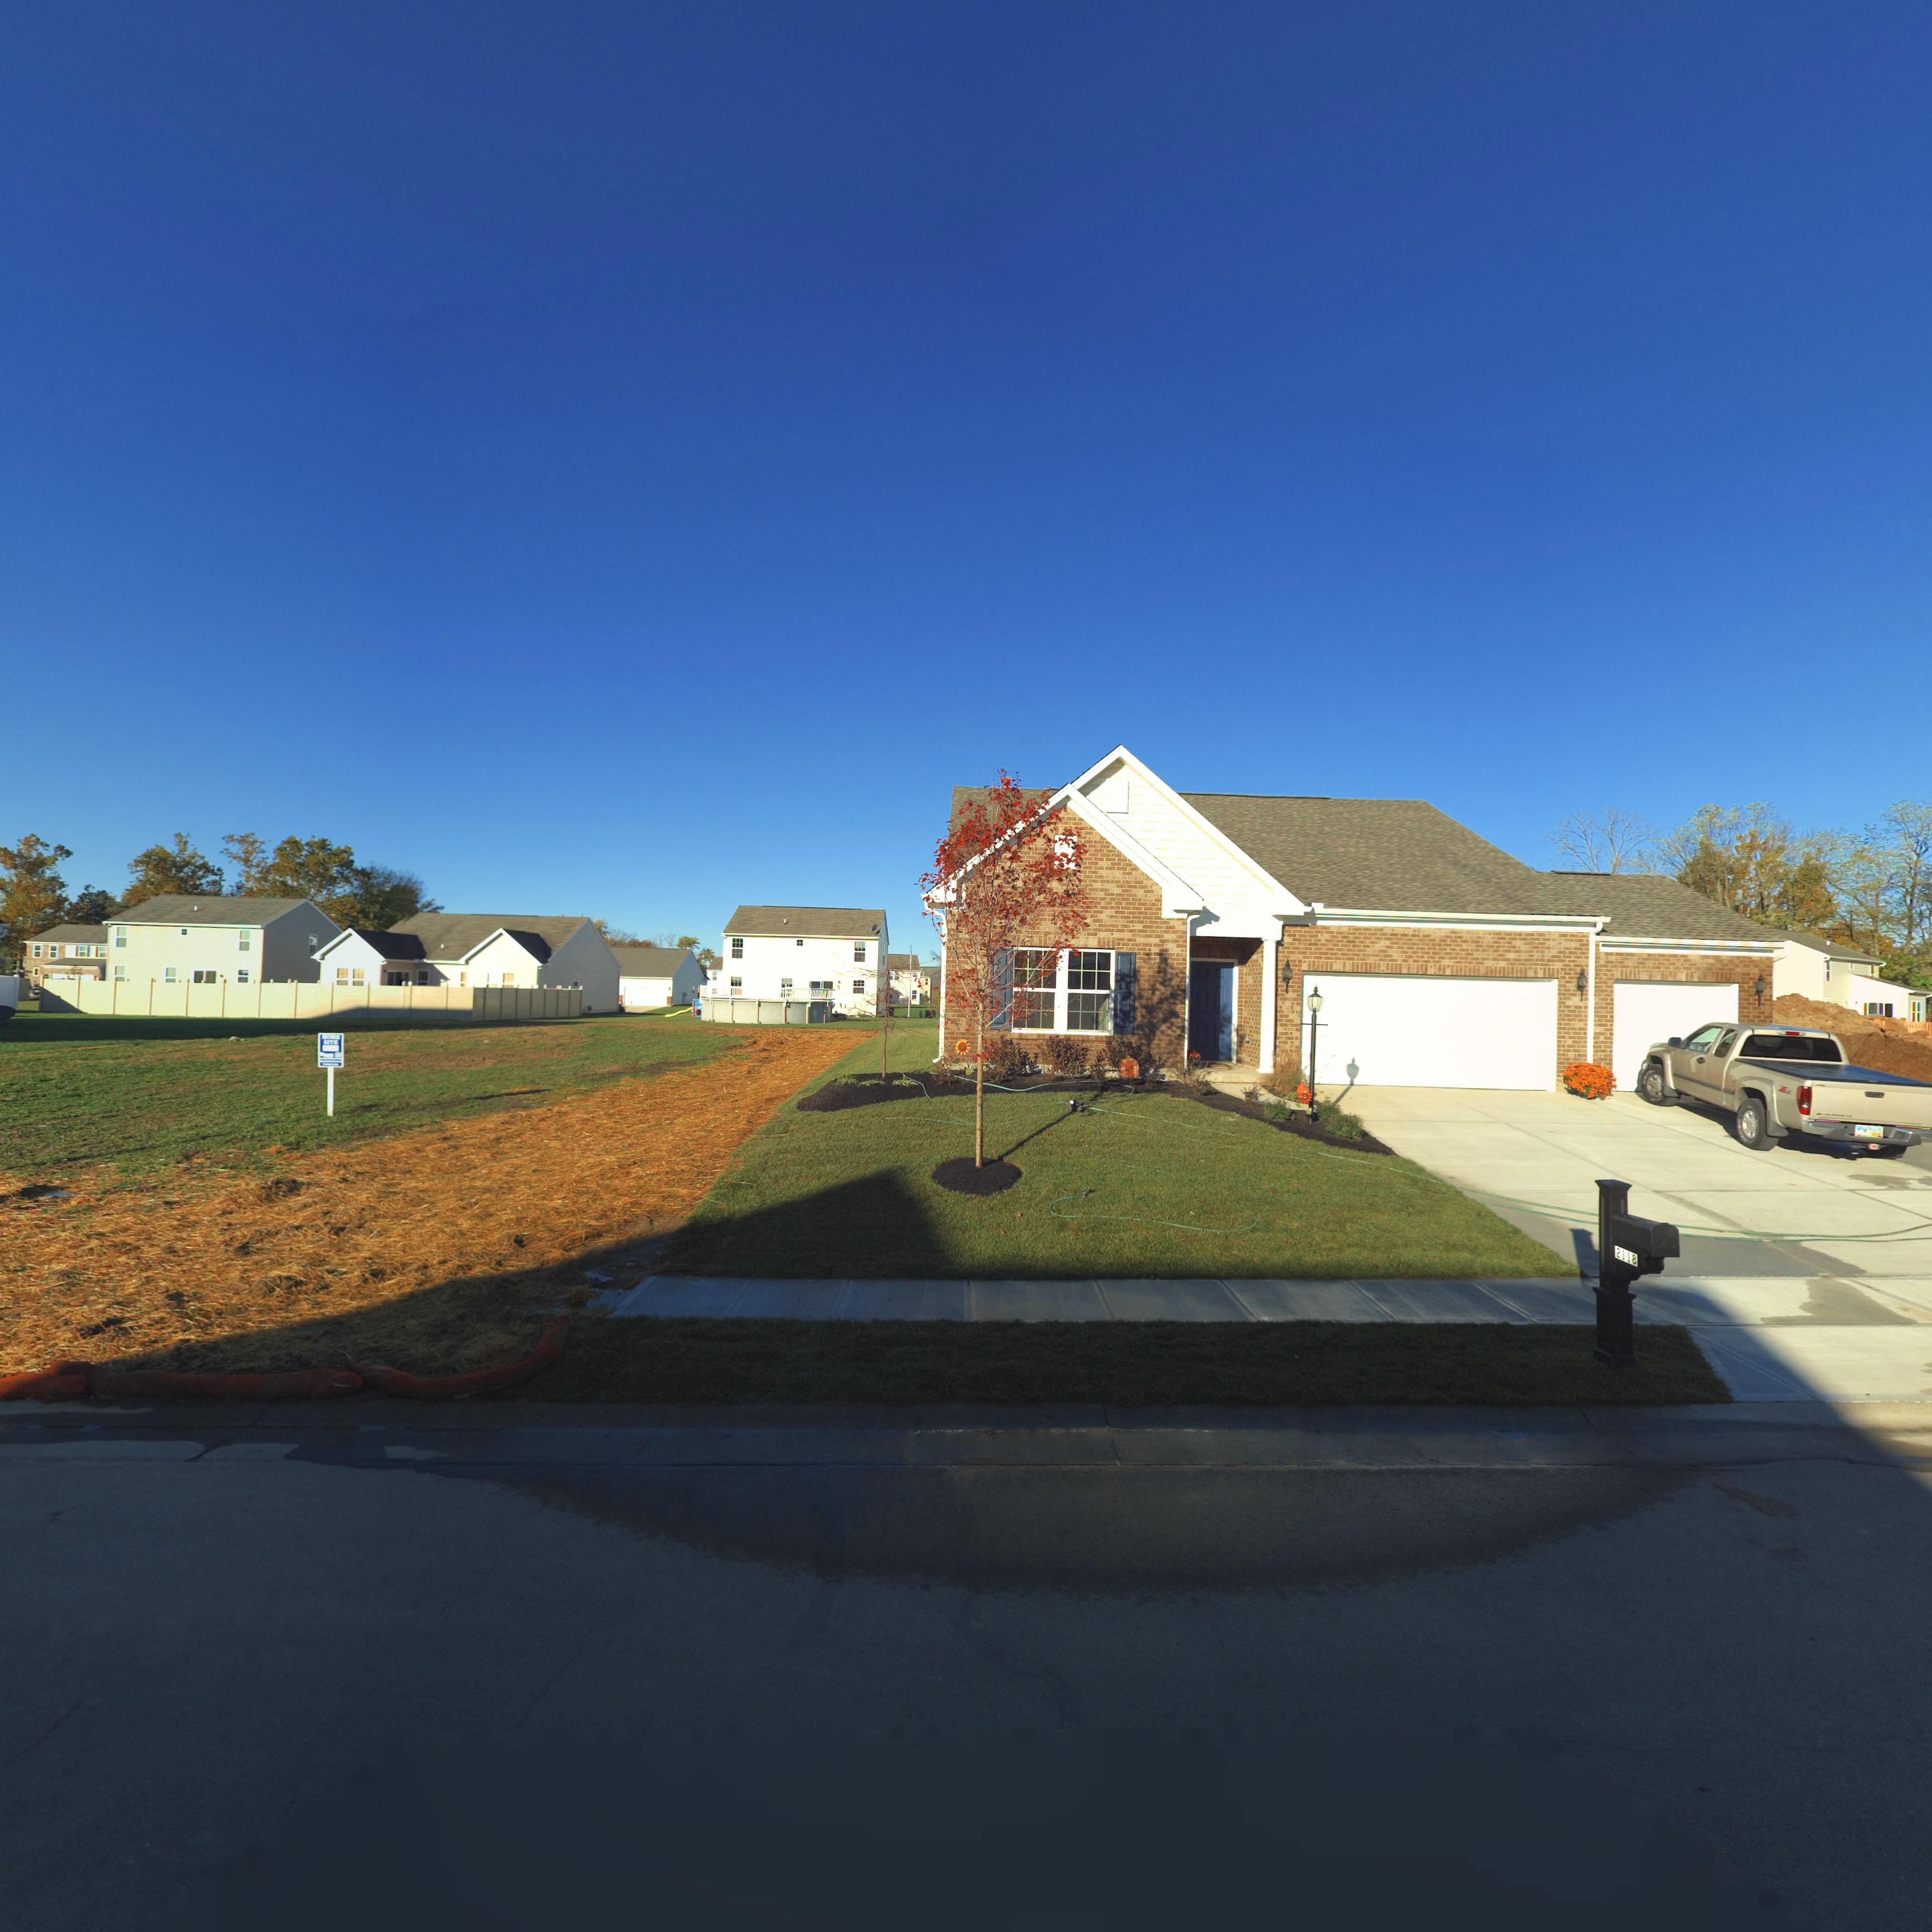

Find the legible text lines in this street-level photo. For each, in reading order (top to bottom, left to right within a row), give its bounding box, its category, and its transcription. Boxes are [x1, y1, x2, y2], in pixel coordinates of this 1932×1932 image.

[1615, 1245, 1638, 1266] StreetNumber: 2118